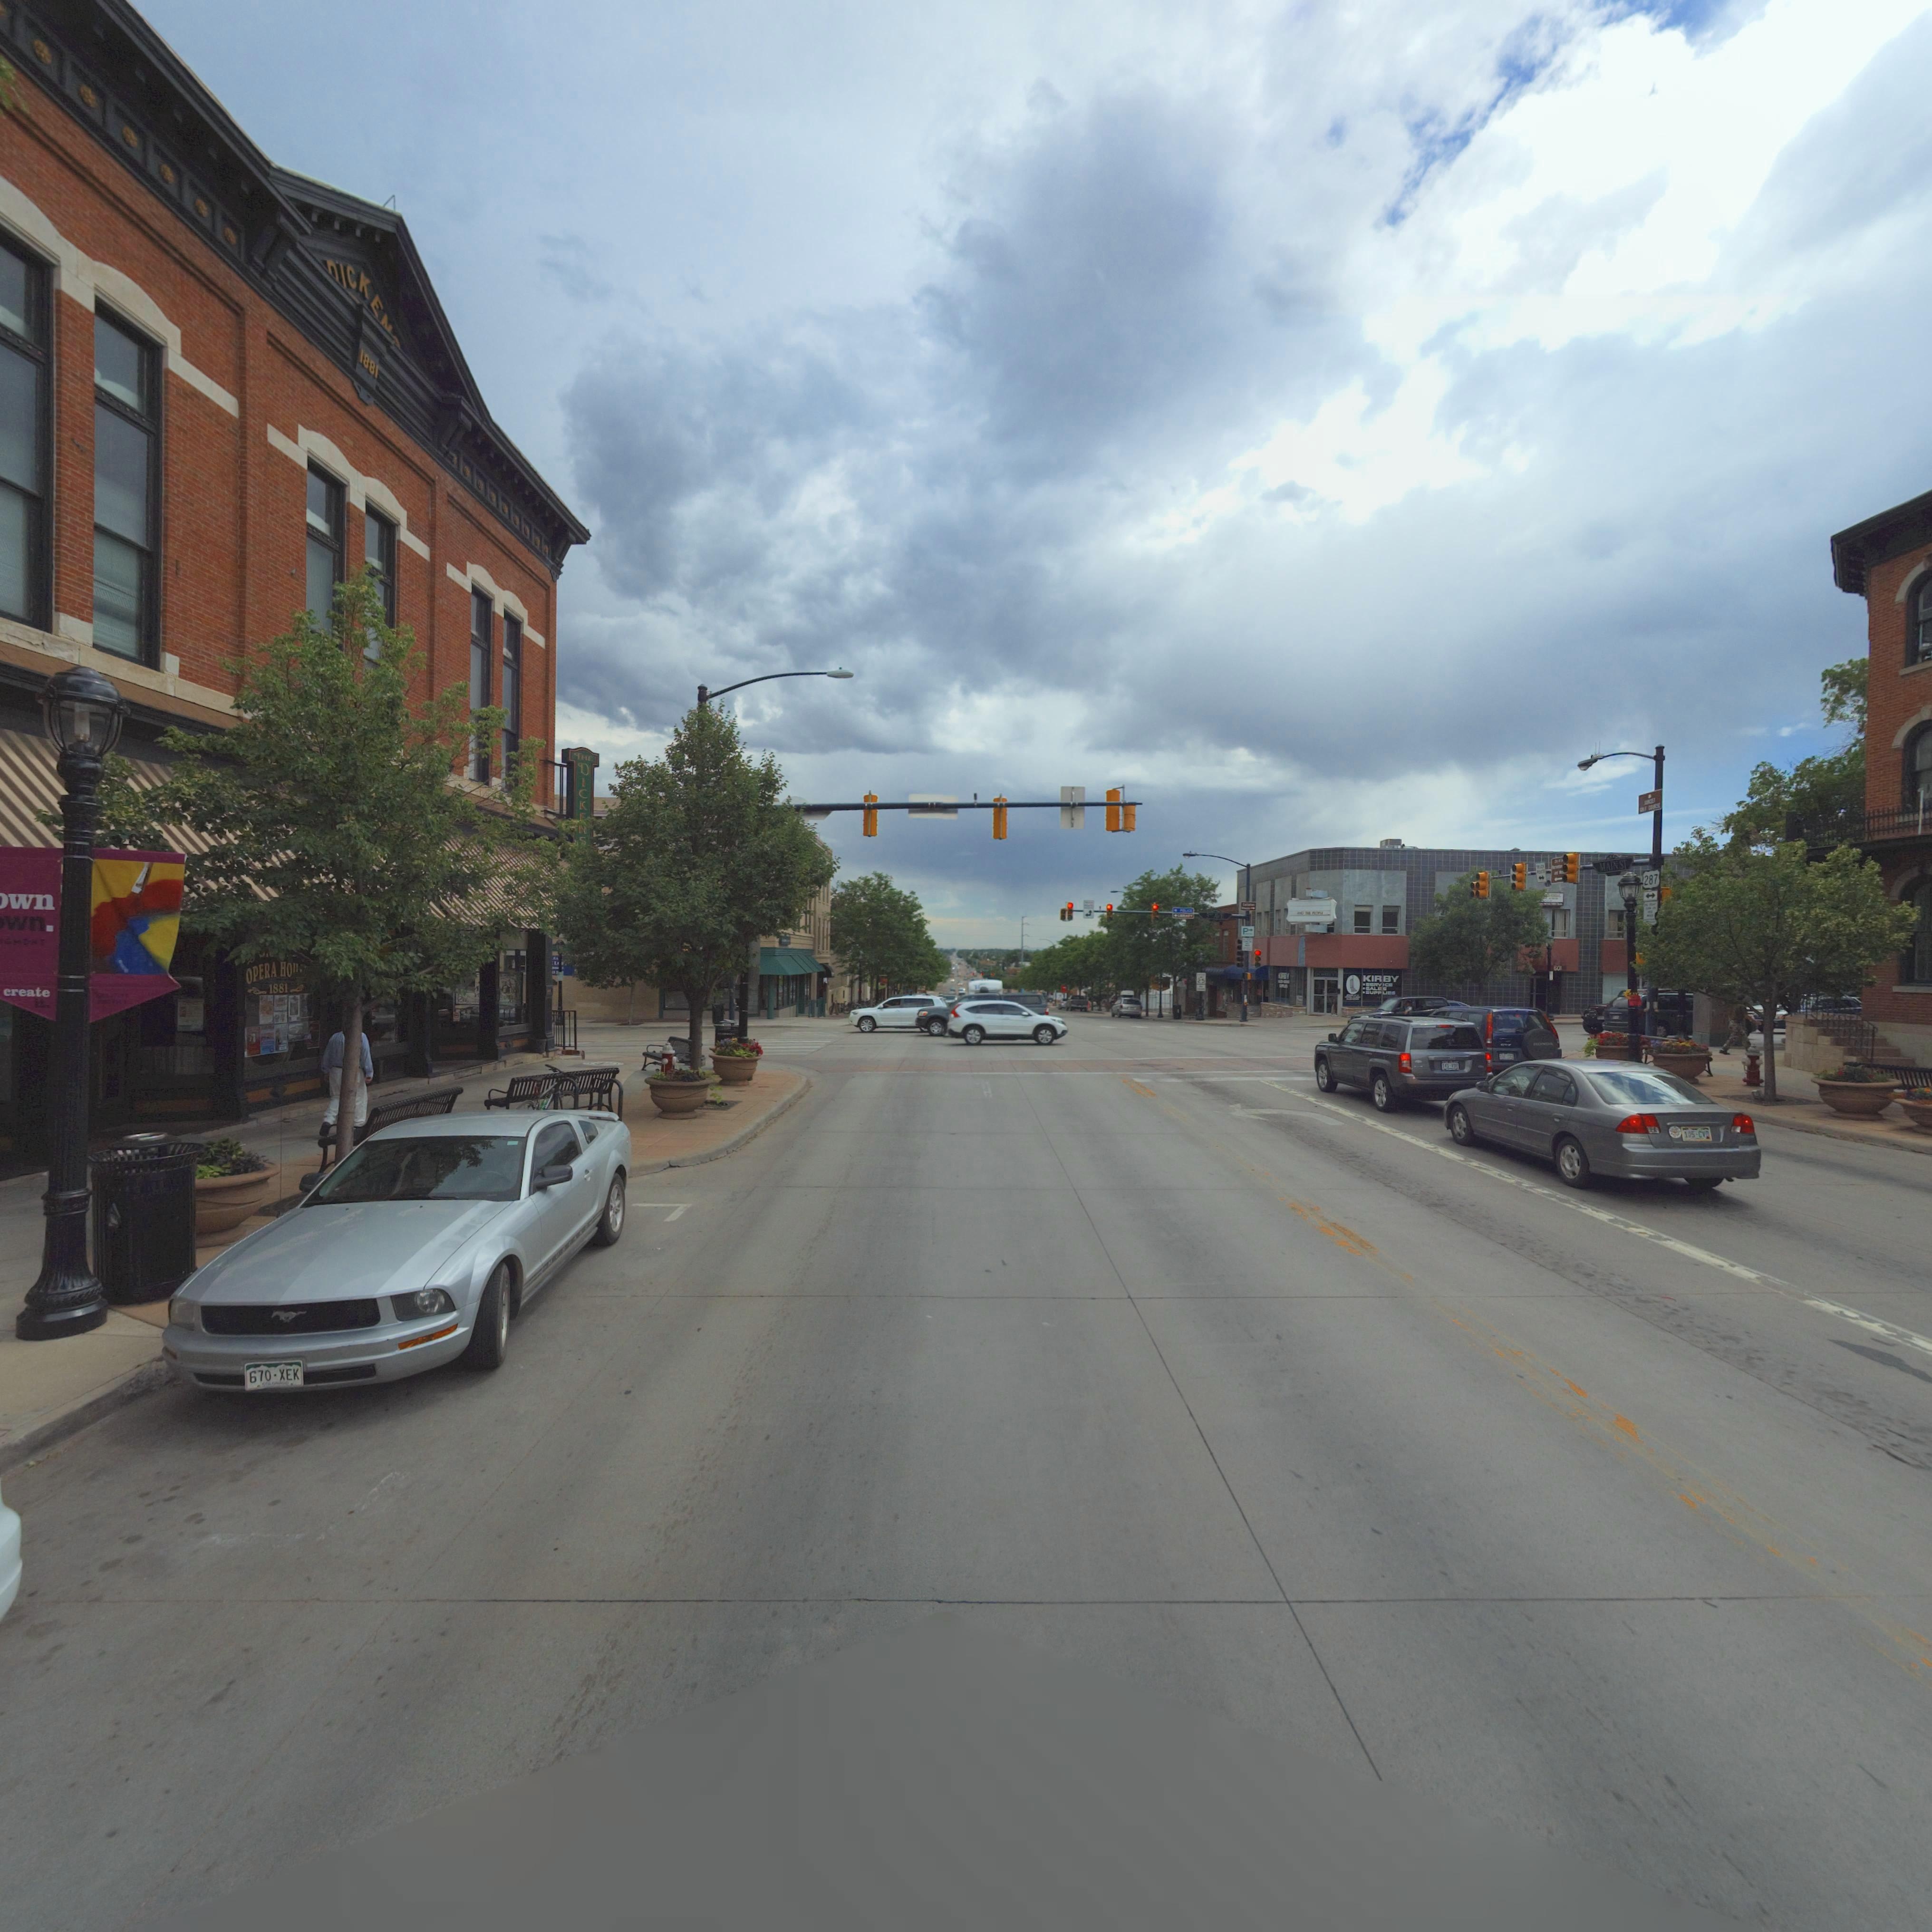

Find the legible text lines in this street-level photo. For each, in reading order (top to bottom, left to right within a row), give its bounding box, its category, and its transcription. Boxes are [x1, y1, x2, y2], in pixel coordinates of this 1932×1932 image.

[325, 258, 394, 337] BusinessName: *ICKE**
[574, 752, 592, 761] BusinessName: THE
[577, 762, 590, 846] BusinessName: DICKENS
[1599, 859, 1627, 871] StreetName: MAIN ST
[1206, 913, 1225, 918] StreetName: *** AVE
[1553, 965, 1562, 970] StreetNumber: *0*
[244, 961, 309, 985] BusinessName: OPERA HO***
[1278, 972, 1290, 979] BusinessName: ***BY
[1363, 975, 1400, 982] BusinessName: KIRBY